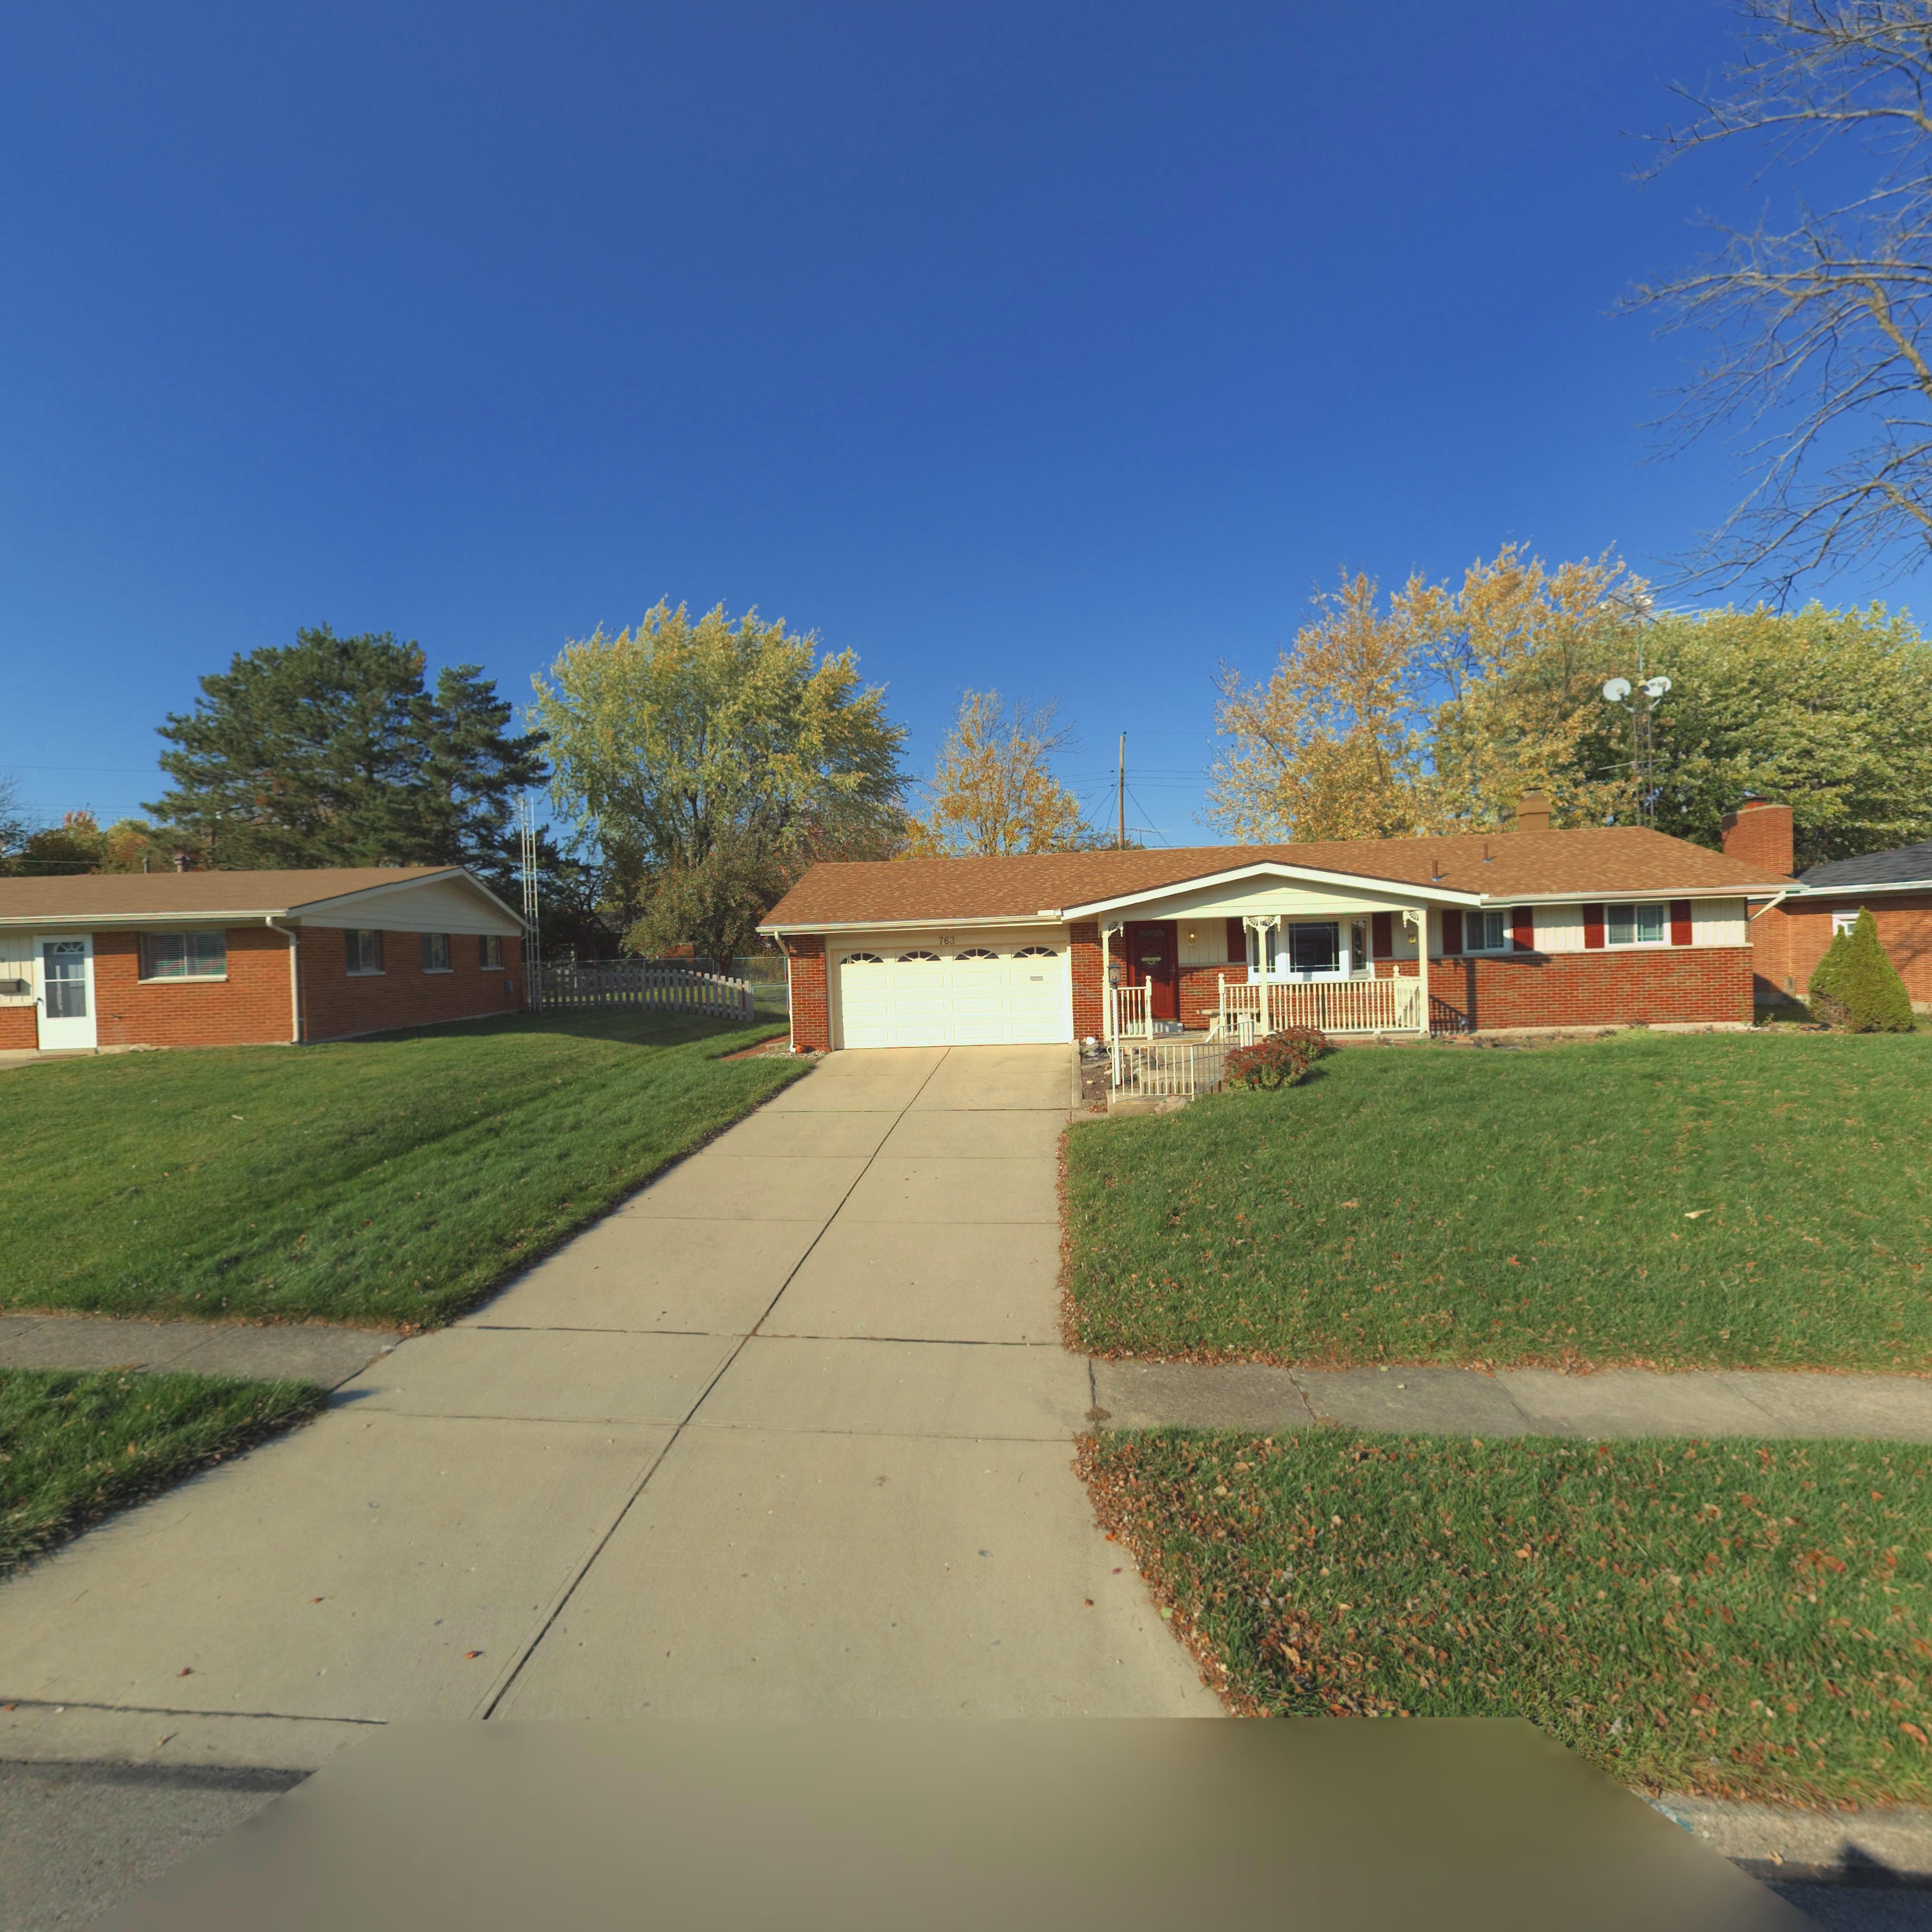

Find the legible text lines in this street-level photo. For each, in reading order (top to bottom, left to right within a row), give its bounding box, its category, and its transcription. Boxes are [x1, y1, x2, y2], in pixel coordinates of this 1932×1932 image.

[938, 936, 955, 945] StreetNumber: 763